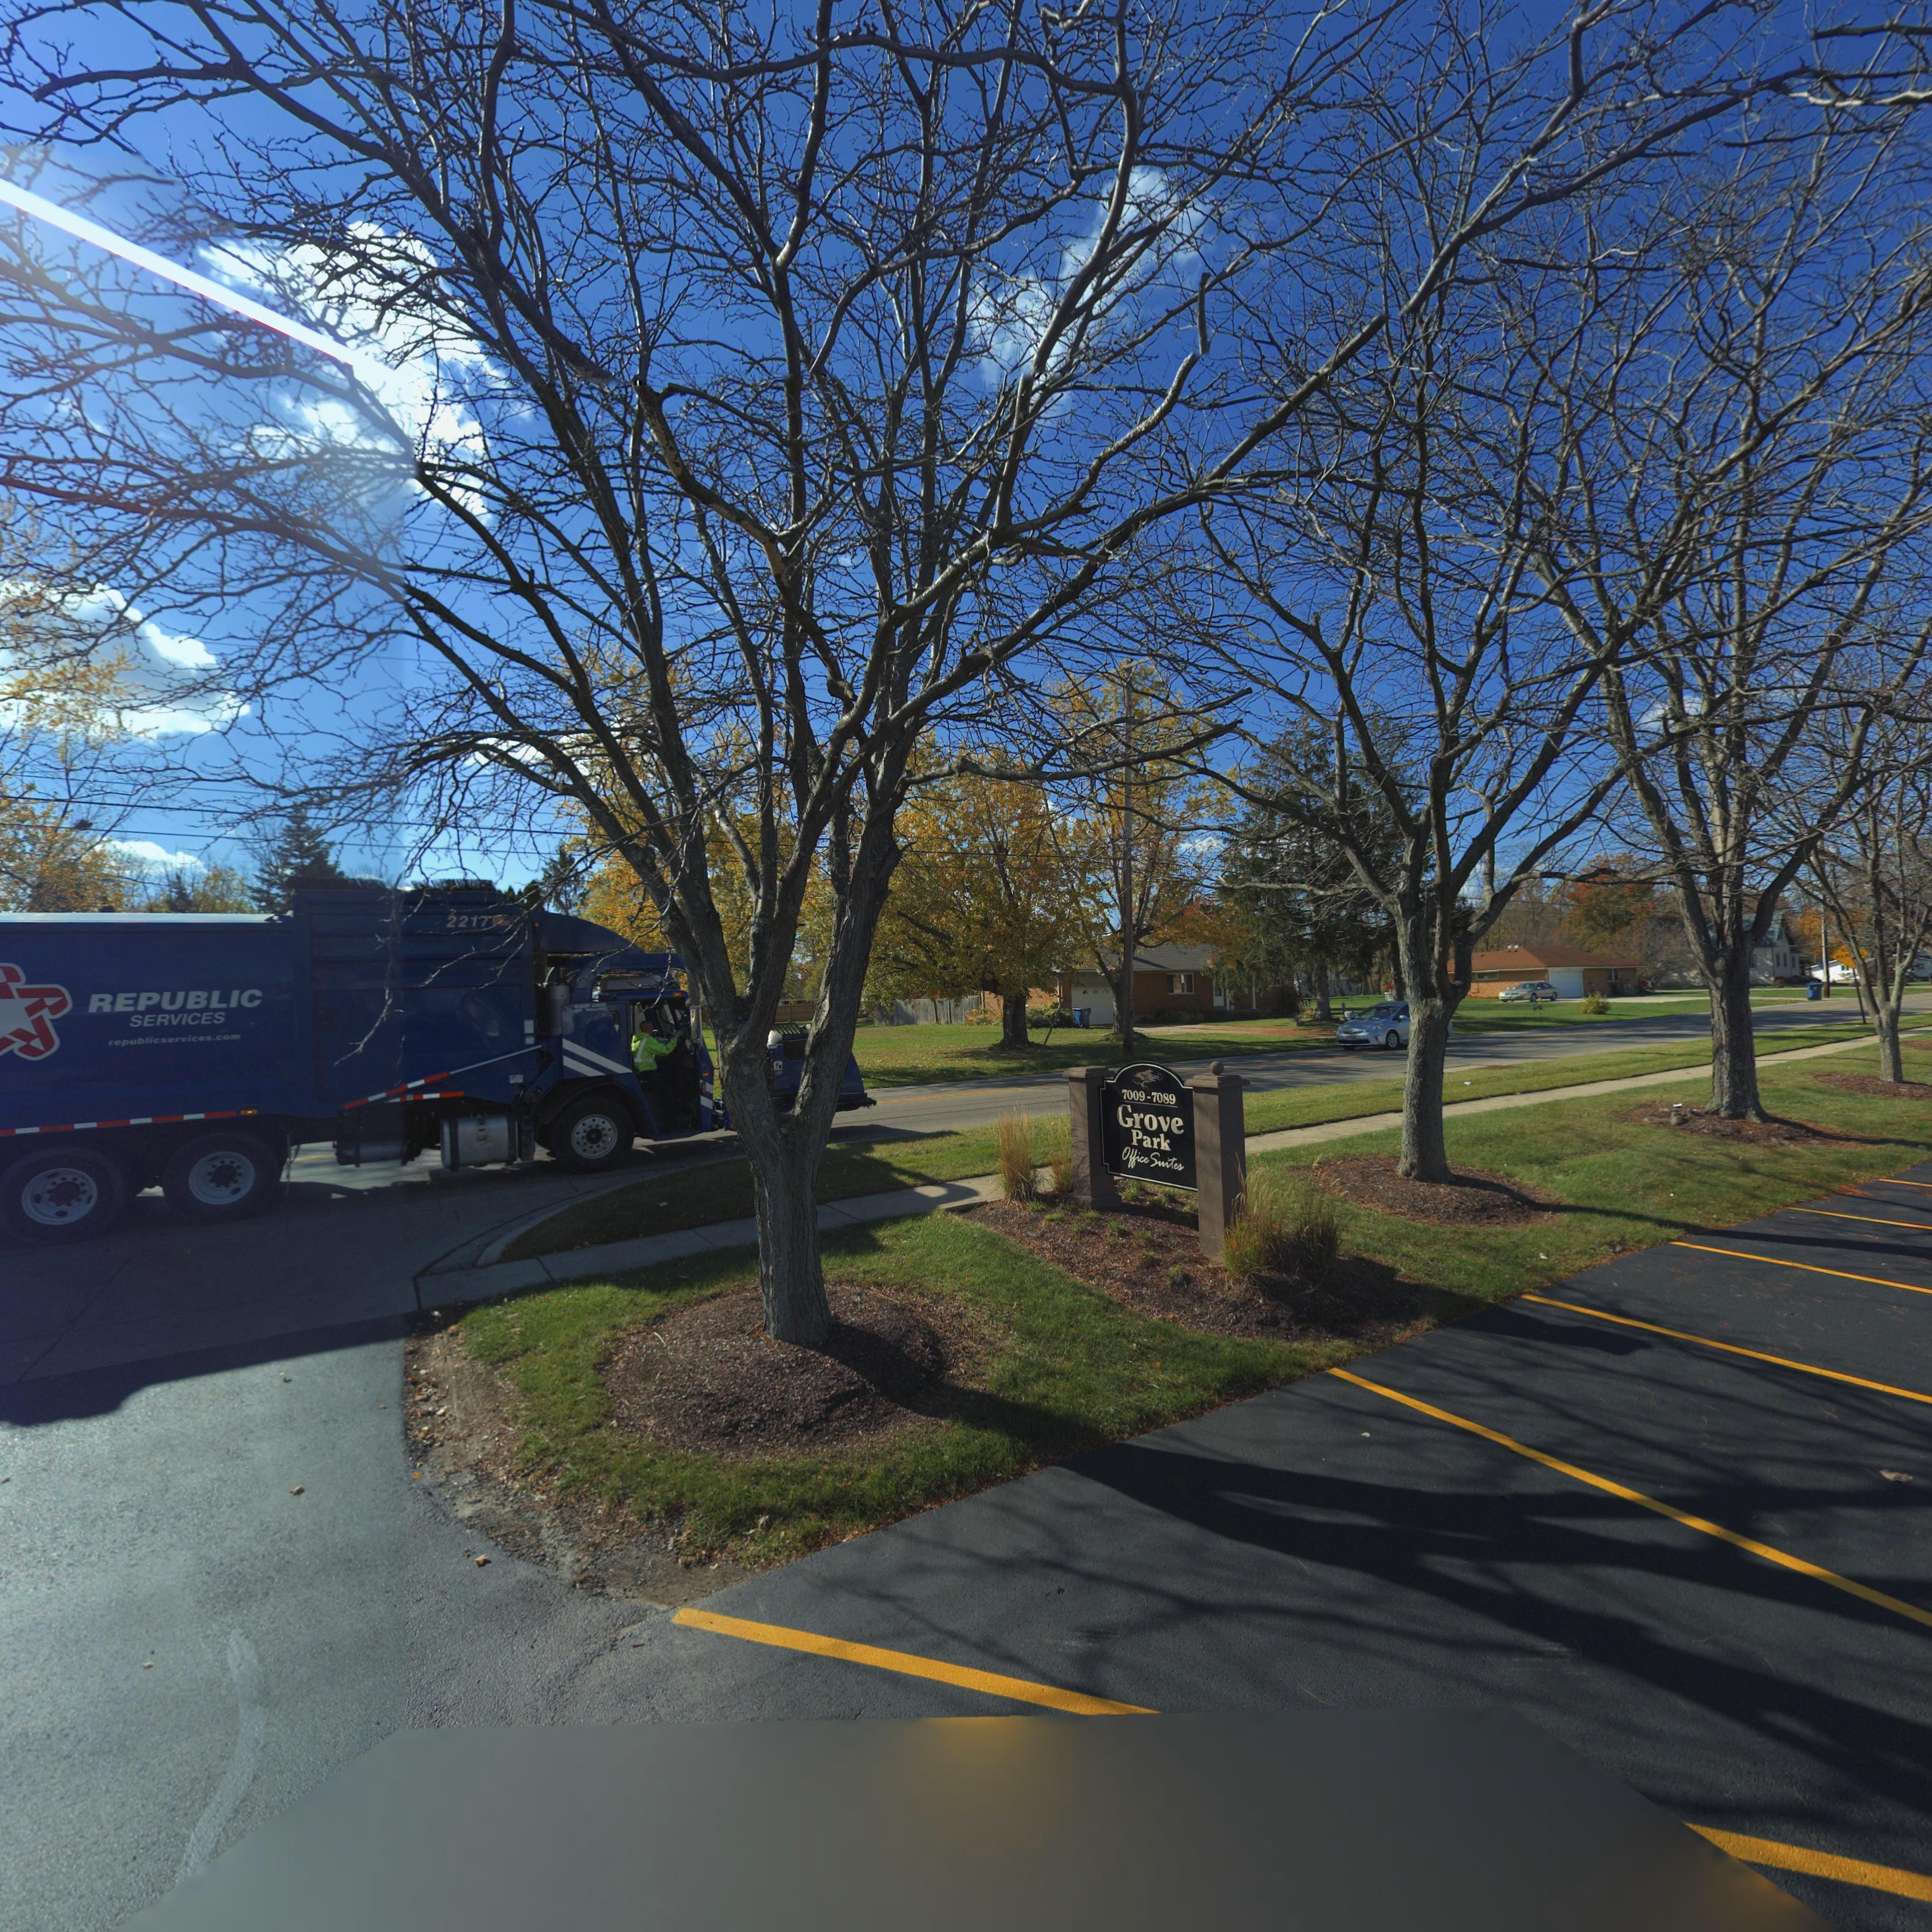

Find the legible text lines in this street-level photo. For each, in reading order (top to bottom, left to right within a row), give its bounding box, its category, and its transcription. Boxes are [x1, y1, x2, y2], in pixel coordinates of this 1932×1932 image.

[1121, 1088, 1146, 1102] StreetNumber: 7009
[1150, 1090, 1178, 1106] StreetNumber: 7089